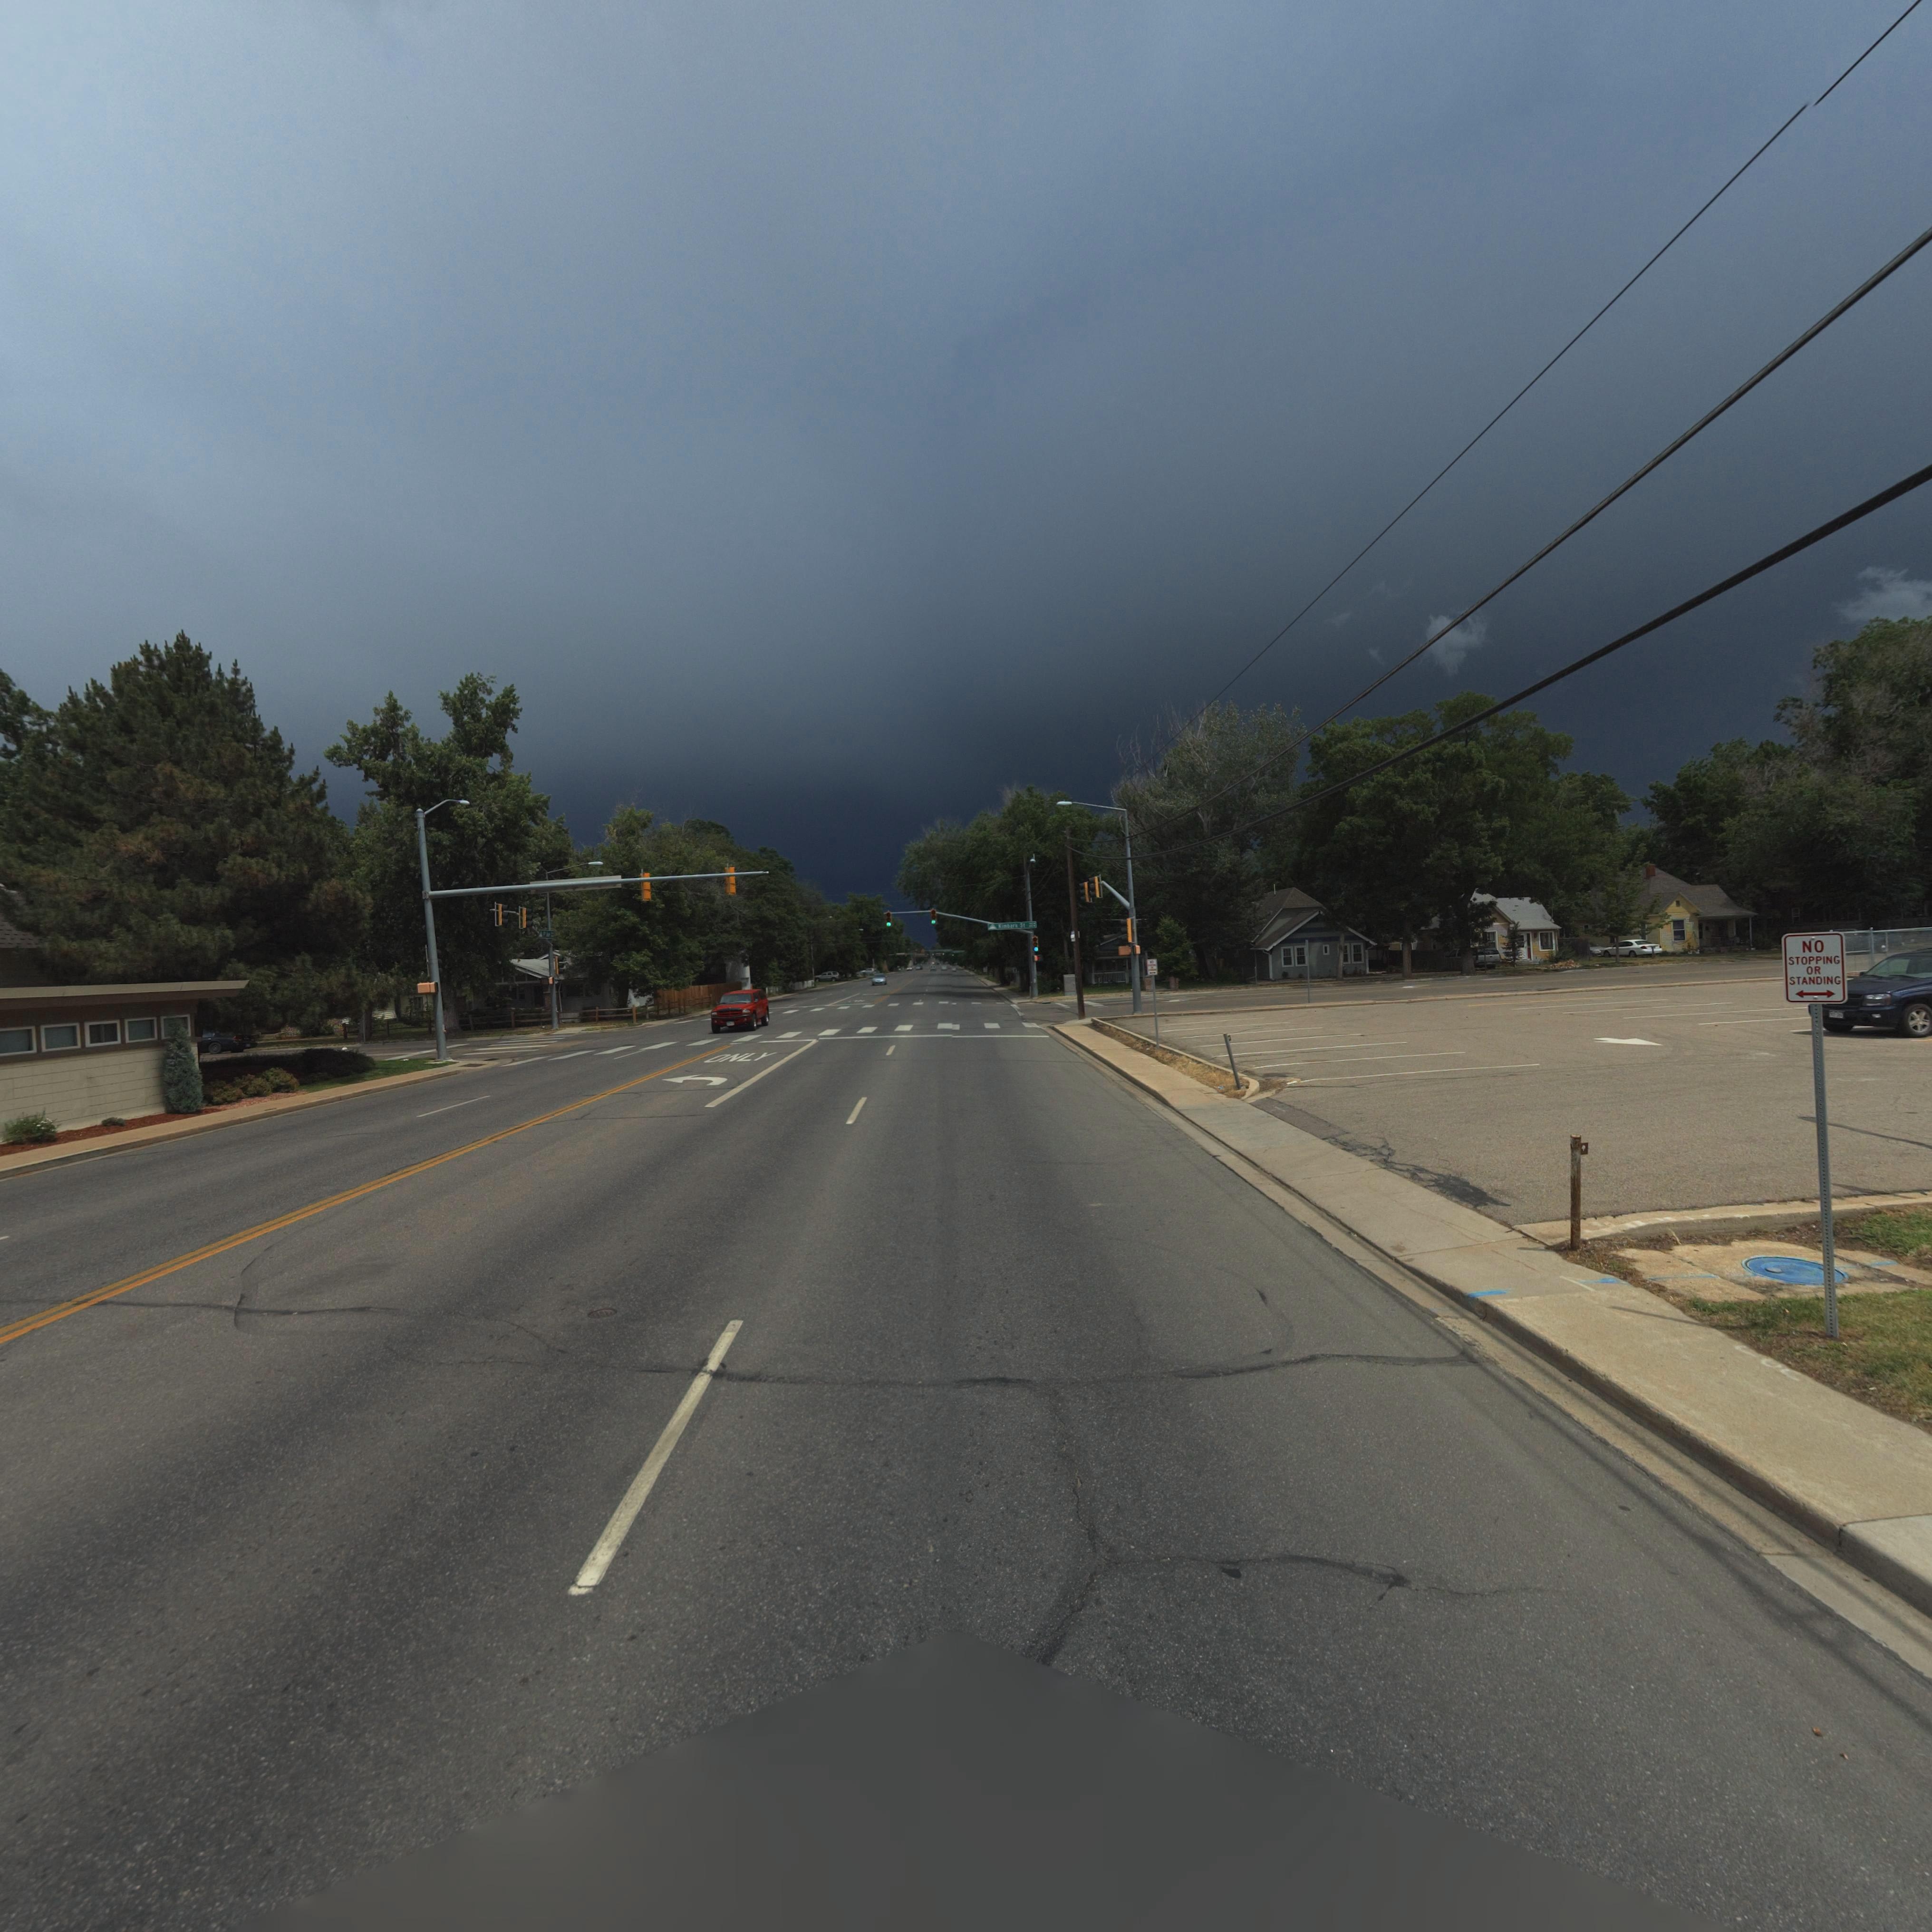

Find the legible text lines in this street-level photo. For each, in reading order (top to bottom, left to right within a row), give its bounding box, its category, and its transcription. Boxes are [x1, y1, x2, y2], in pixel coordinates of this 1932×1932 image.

[998, 922, 1025, 928] StreetName: Kimbark St